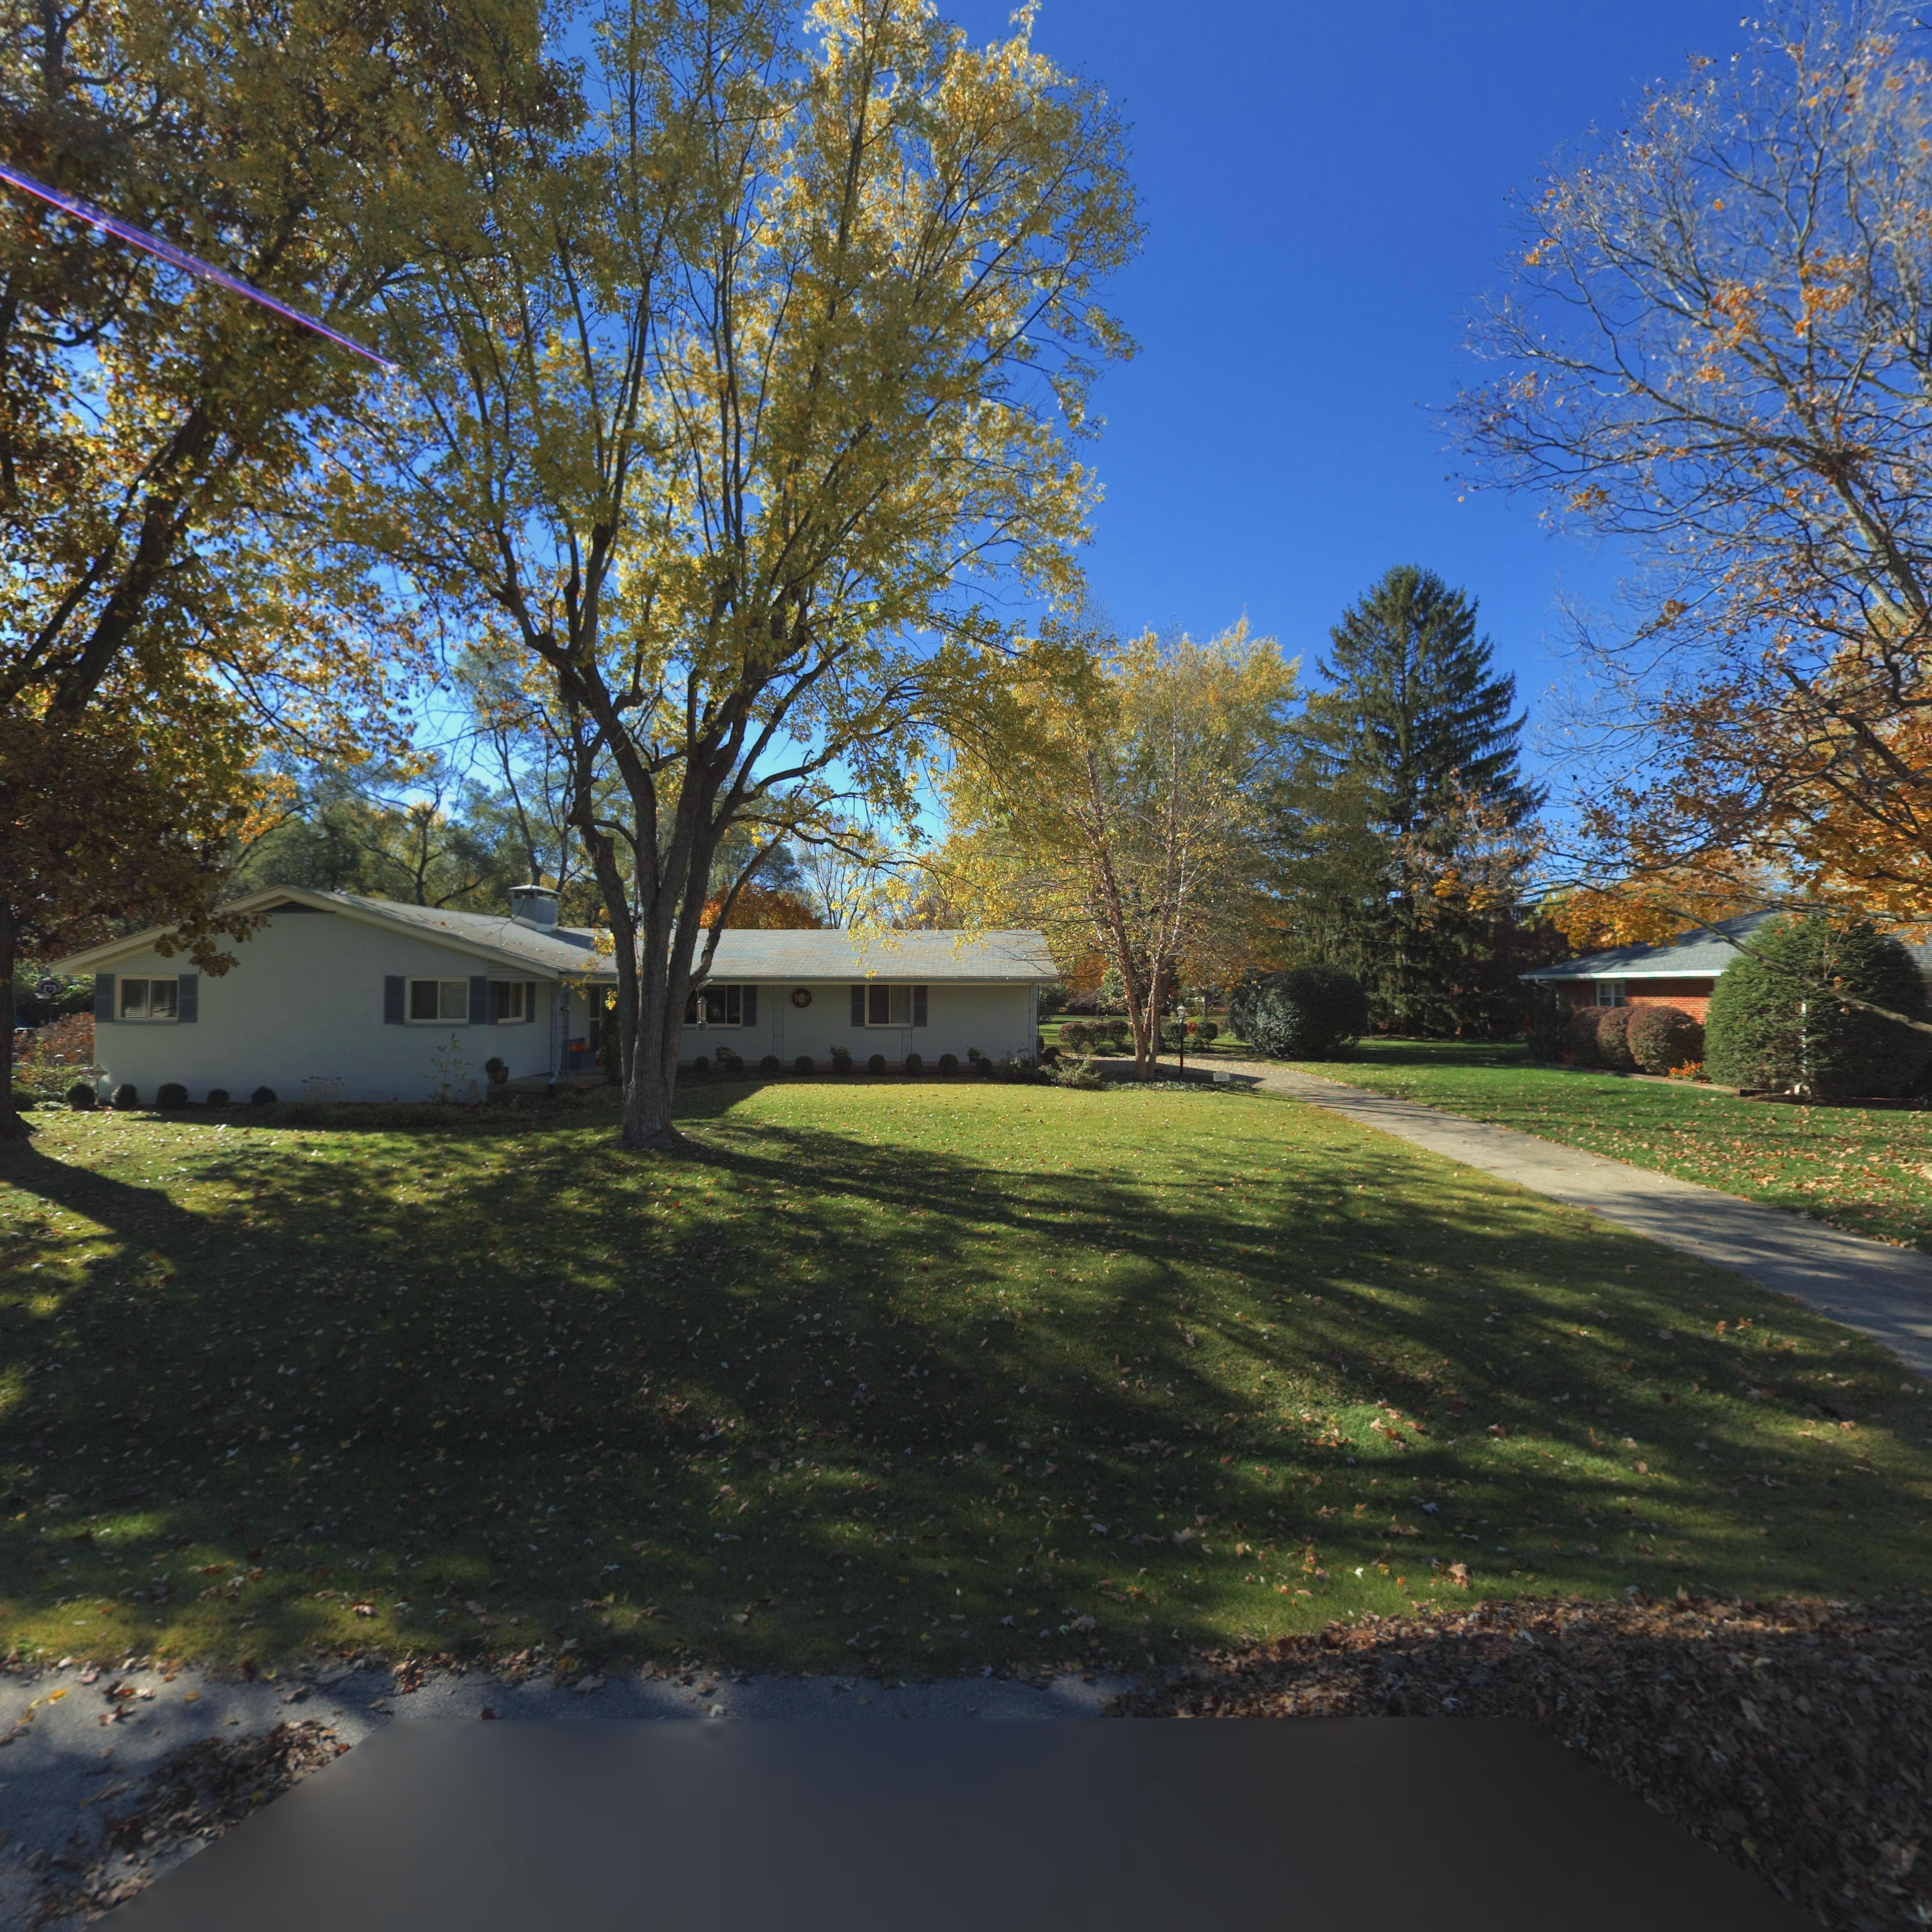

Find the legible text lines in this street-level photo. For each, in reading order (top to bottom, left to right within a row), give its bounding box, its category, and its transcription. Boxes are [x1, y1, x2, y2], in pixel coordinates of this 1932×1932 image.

[1216, 1074, 1227, 1081] StreetNumber: 6401